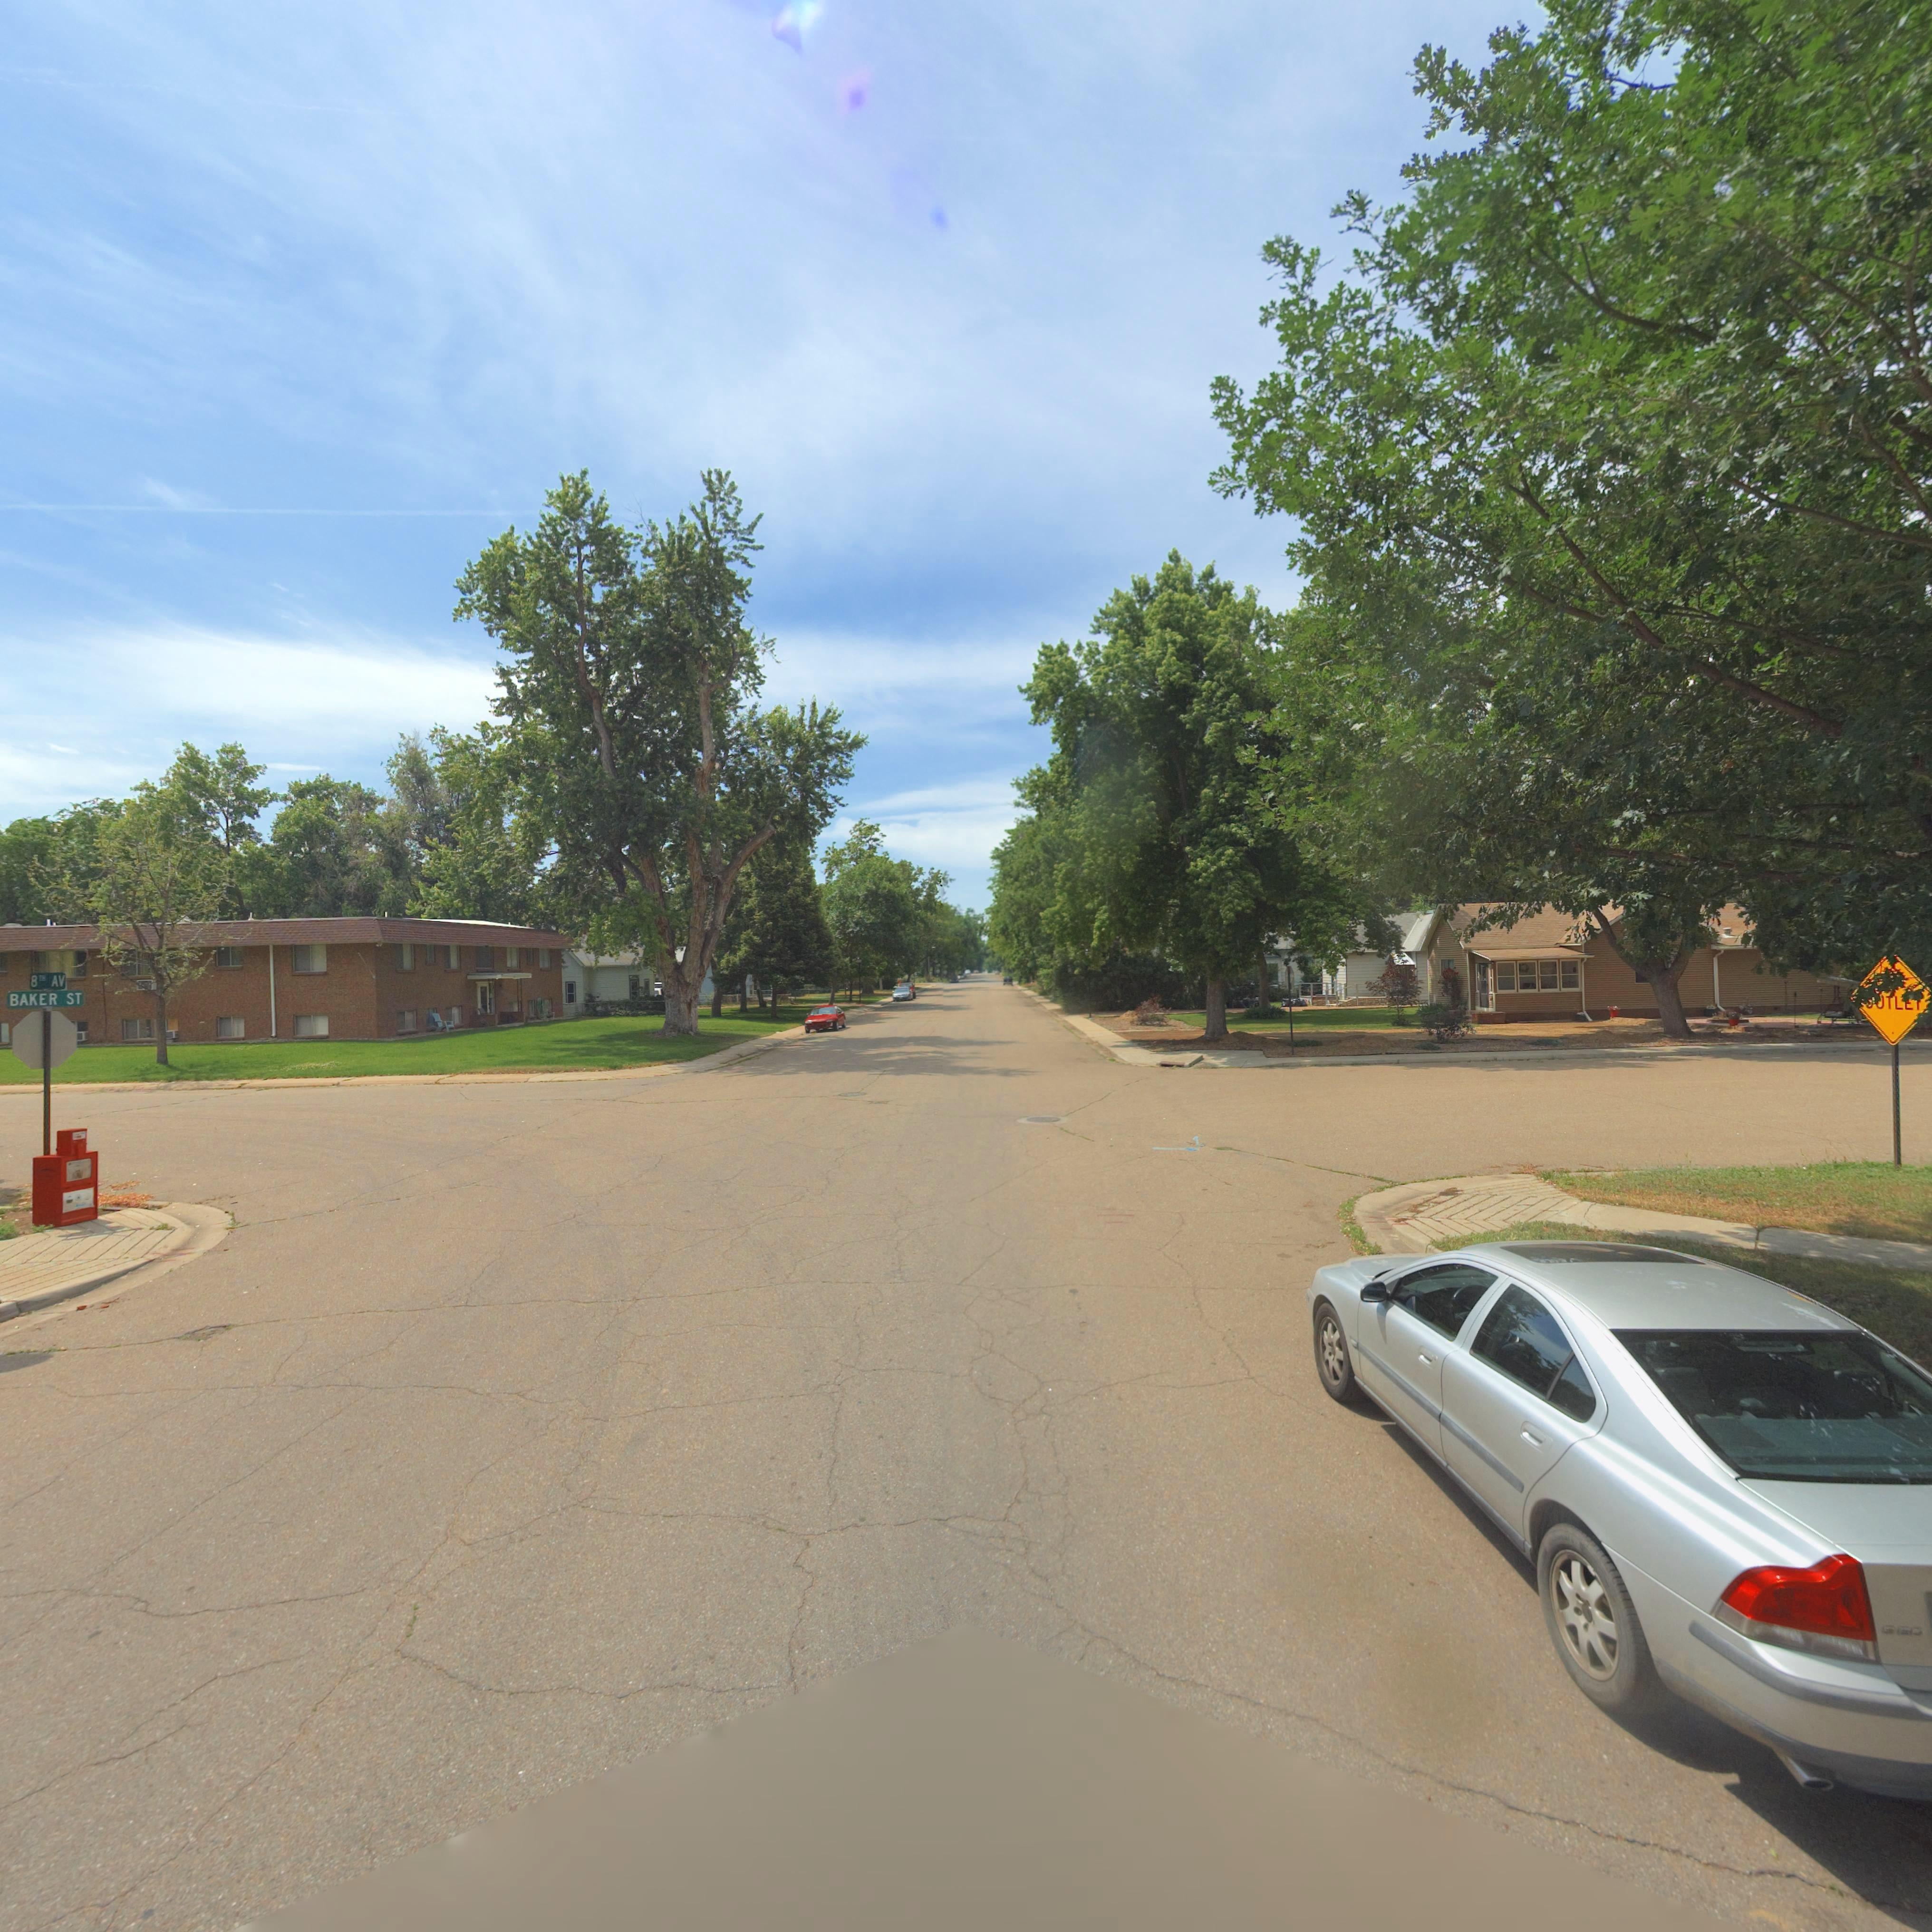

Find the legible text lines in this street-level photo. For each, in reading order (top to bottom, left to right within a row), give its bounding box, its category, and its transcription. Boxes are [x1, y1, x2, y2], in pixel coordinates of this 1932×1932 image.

[31, 975, 66, 987] StreetName: 8TH AV
[10, 992, 82, 1006] StreetName: BAKER ST